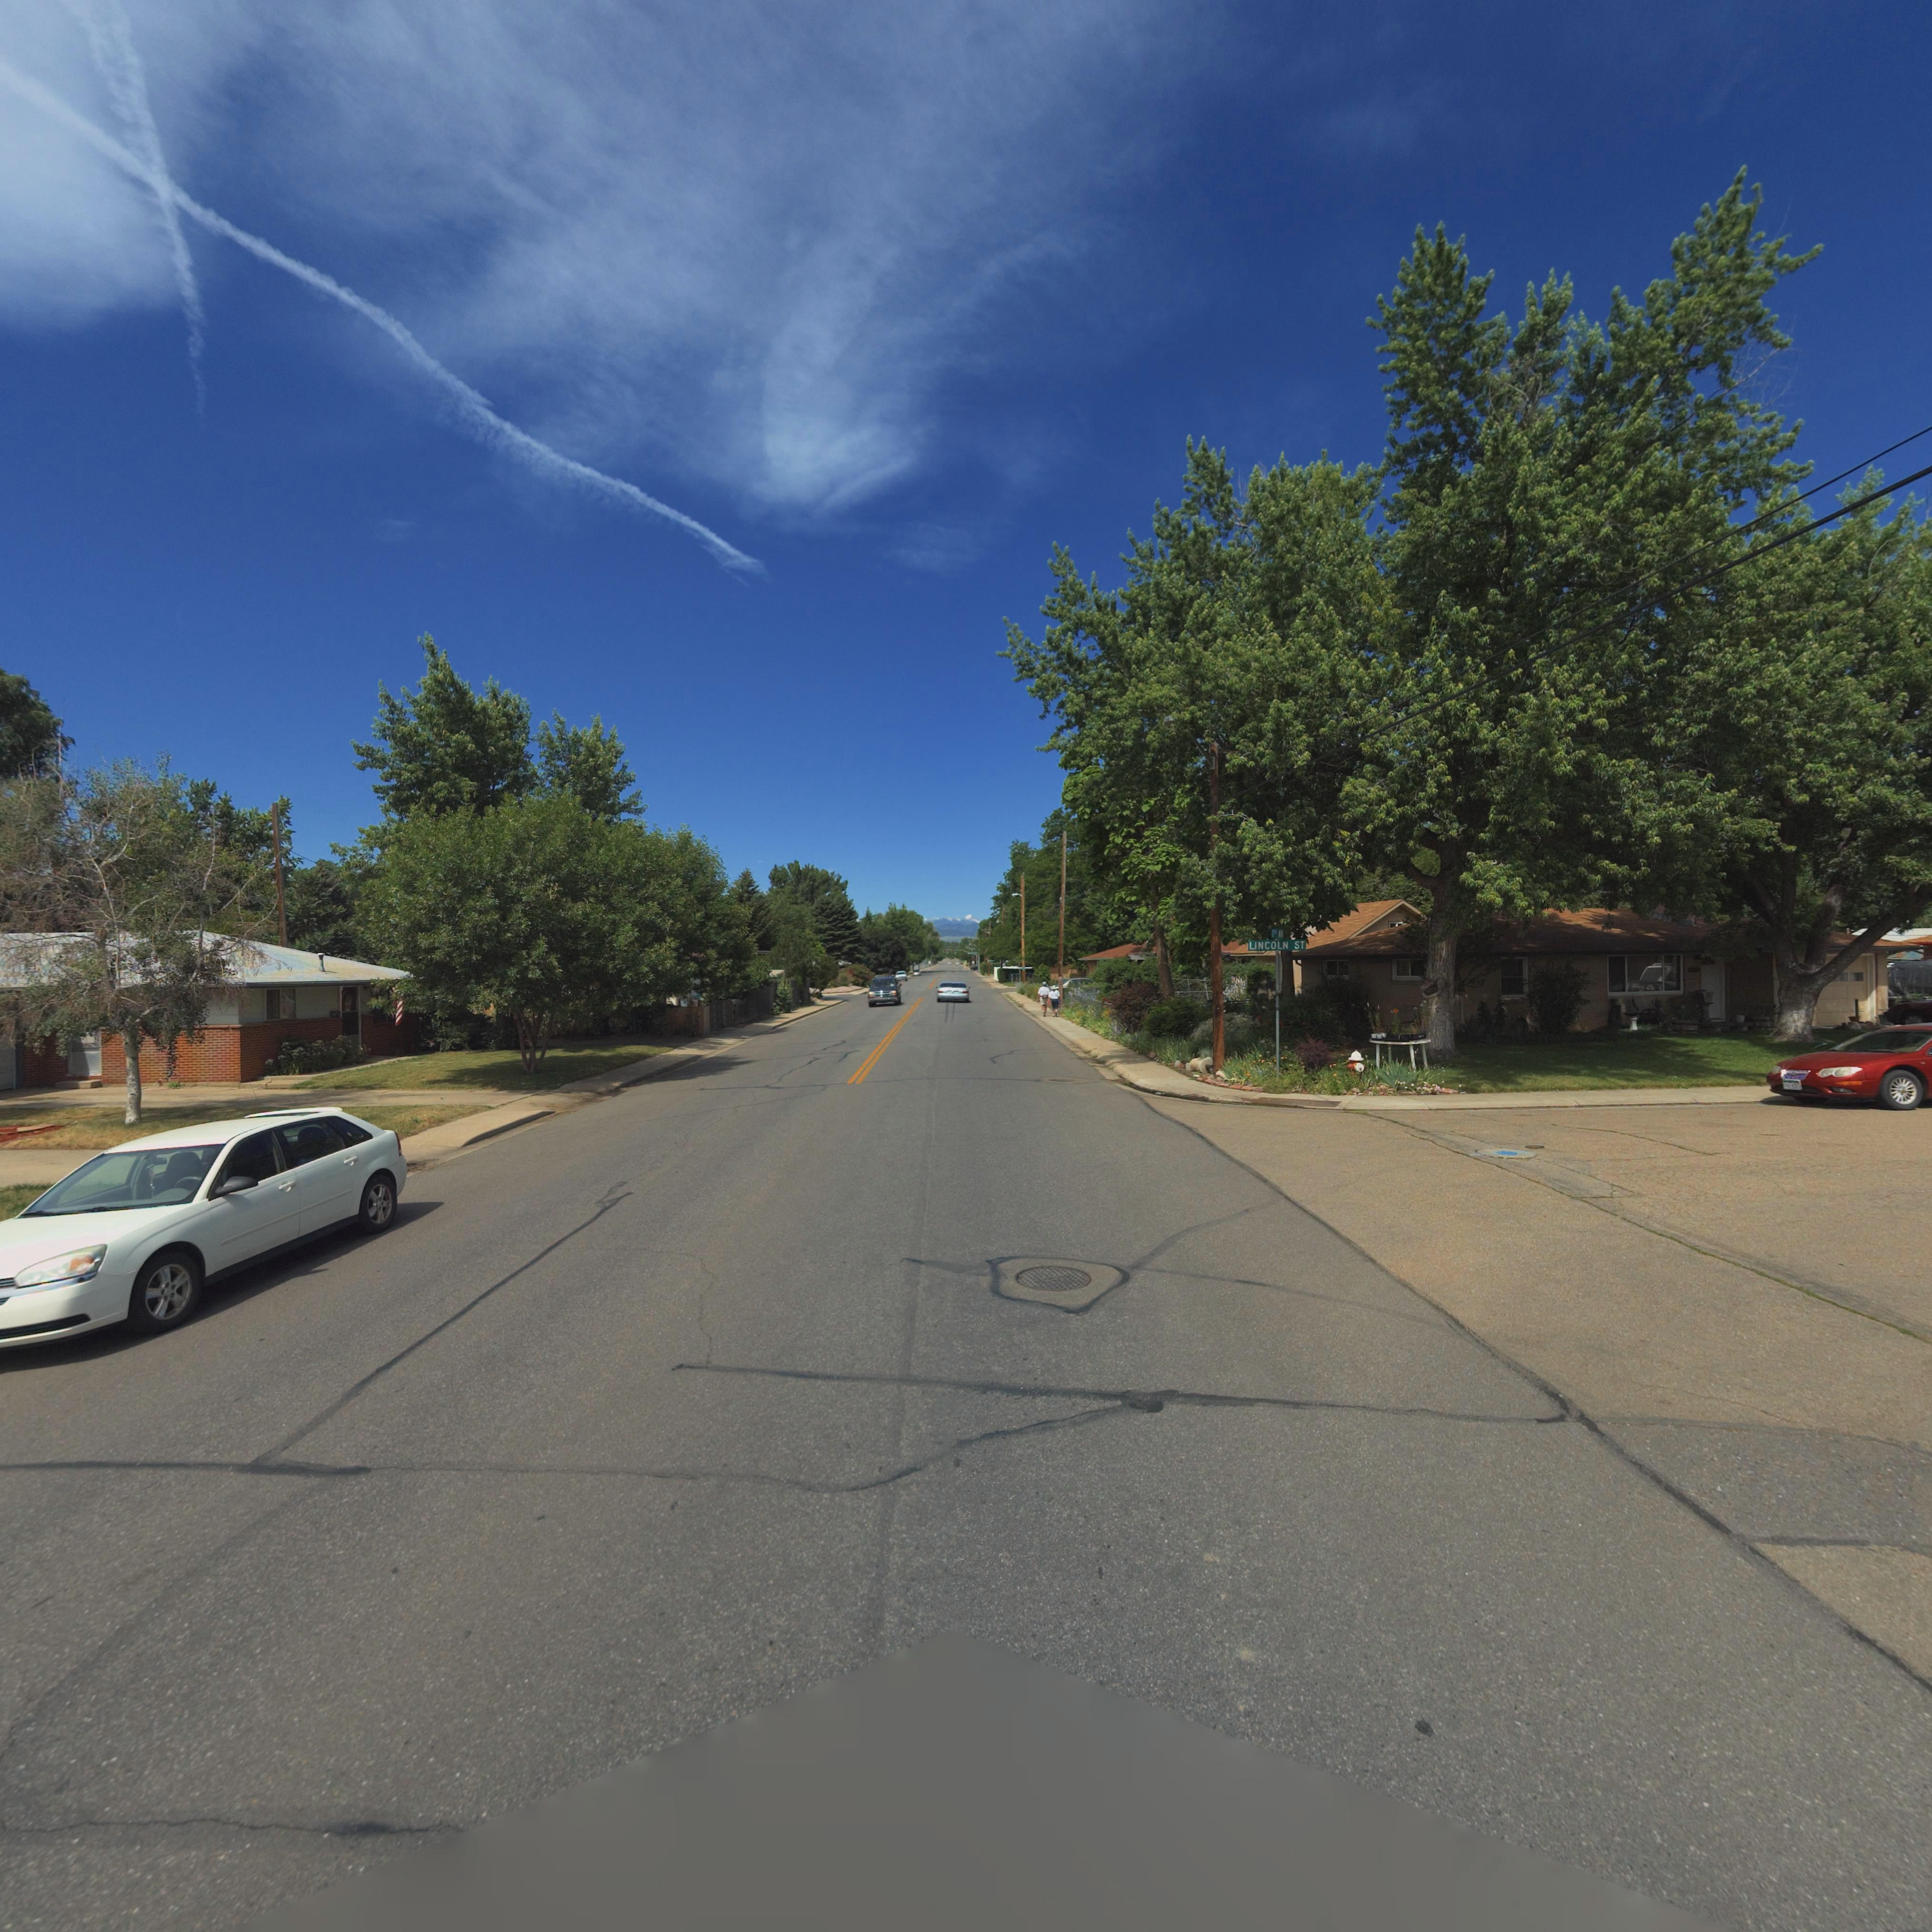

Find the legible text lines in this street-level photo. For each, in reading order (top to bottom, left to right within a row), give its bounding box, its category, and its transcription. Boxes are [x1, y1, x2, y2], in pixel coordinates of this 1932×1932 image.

[1271, 929, 1283, 937] StreetName: 11TH AV
[1249, 940, 1305, 949] StreetName: LINCOLN ST
[362, 1000, 370, 1006] StreetNumber: 1**